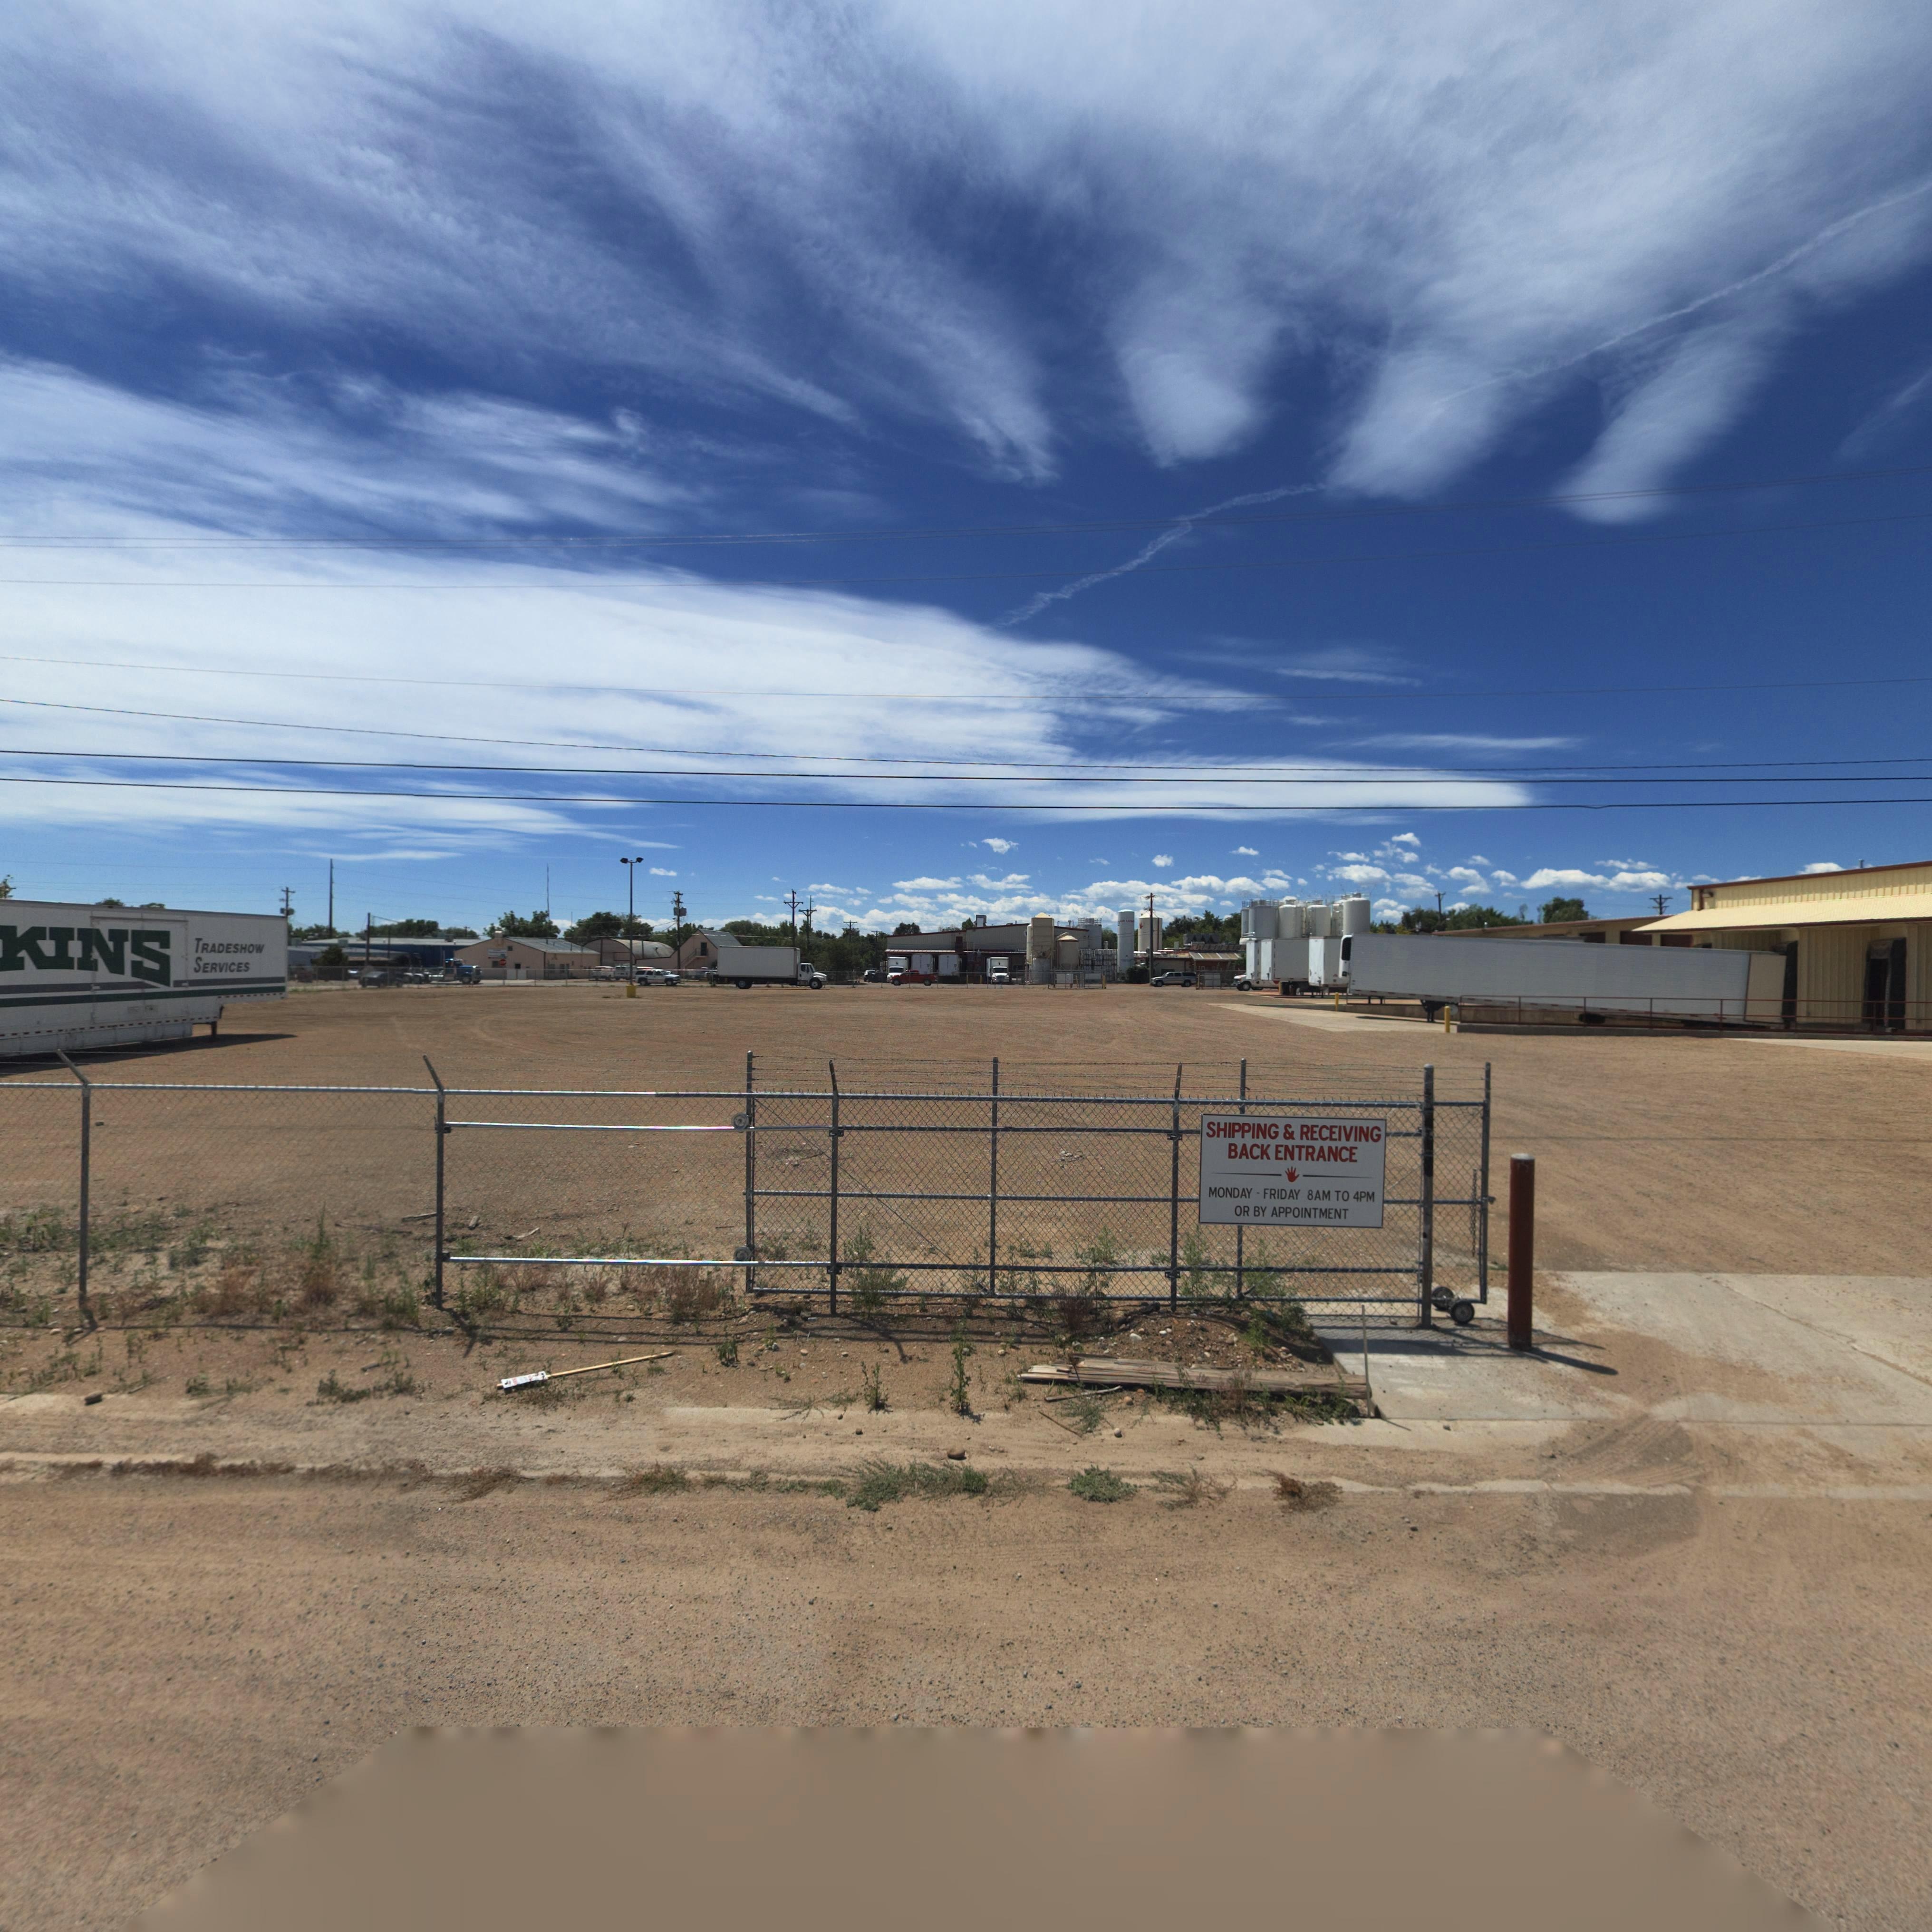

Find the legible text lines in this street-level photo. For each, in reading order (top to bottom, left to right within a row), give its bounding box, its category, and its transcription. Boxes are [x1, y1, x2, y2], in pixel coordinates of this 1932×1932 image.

[1235, 1205, 1349, 1219] BusinessName: ORBY ANOINTMENT